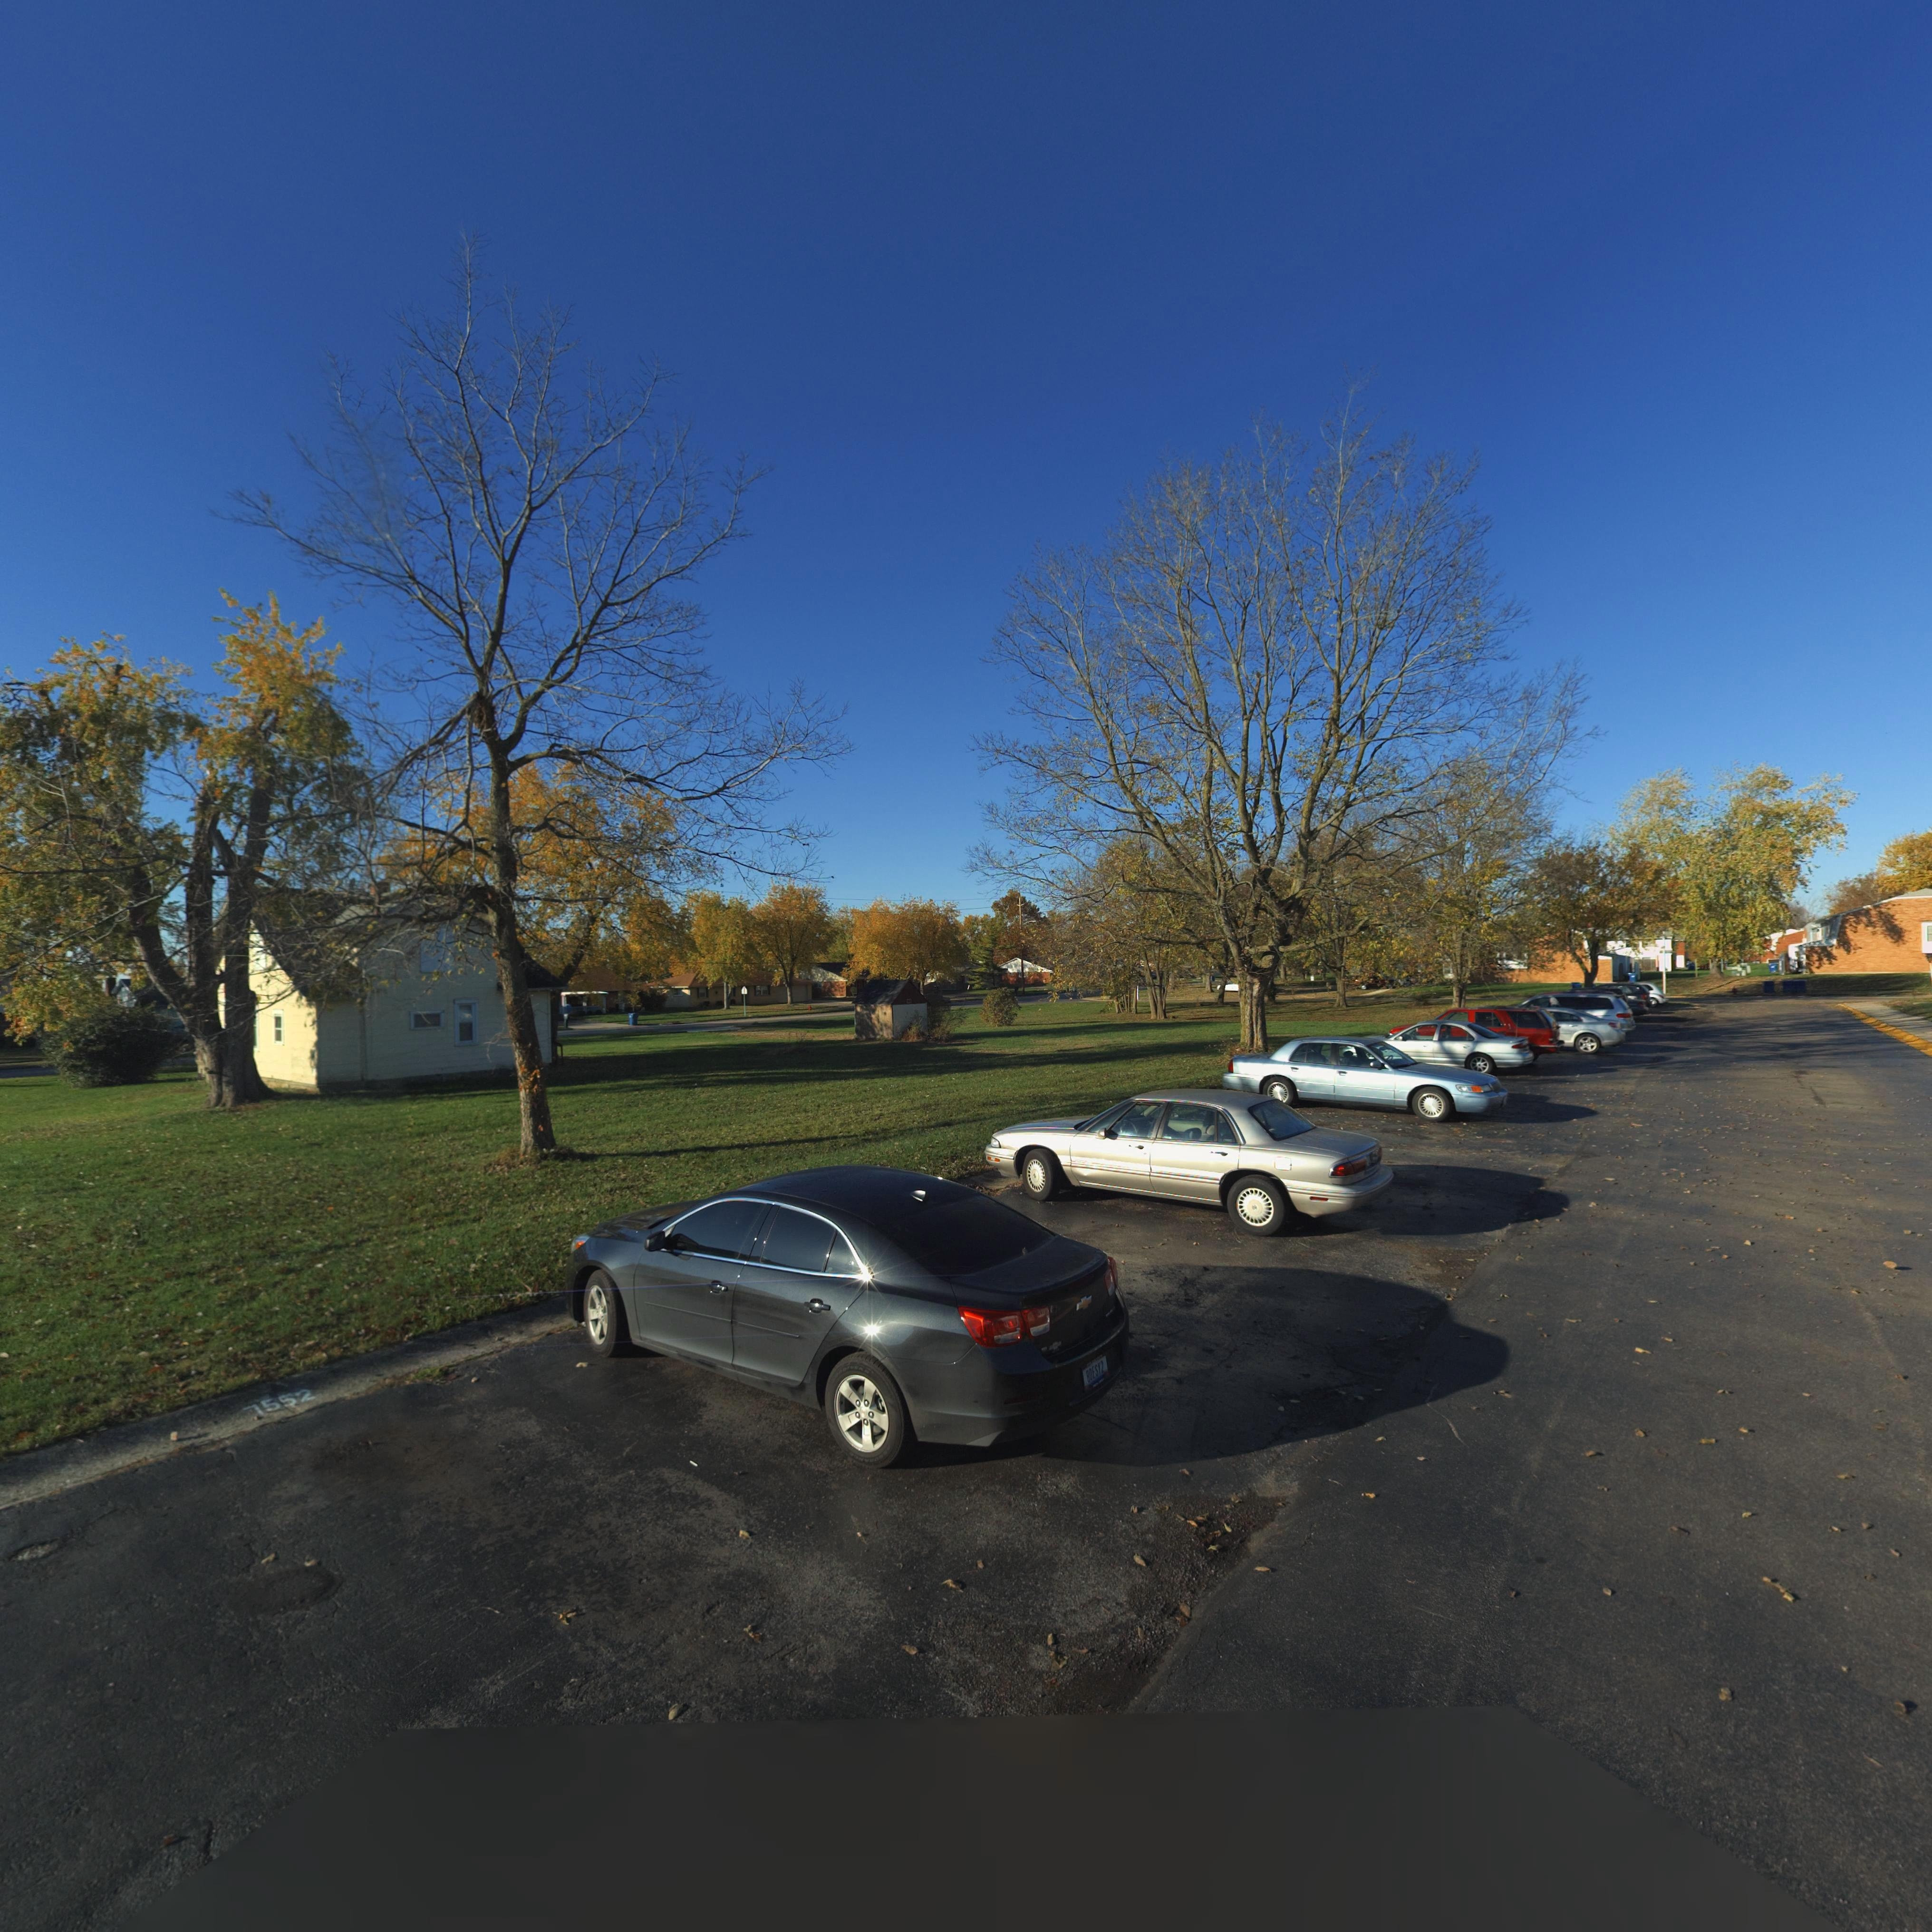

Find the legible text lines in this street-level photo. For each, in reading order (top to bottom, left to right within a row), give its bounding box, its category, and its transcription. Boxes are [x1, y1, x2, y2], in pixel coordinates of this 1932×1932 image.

[1084, 1358, 1106, 1384] None: ***SY2
[240, 1386, 318, 1419] StreetNumber: 7552